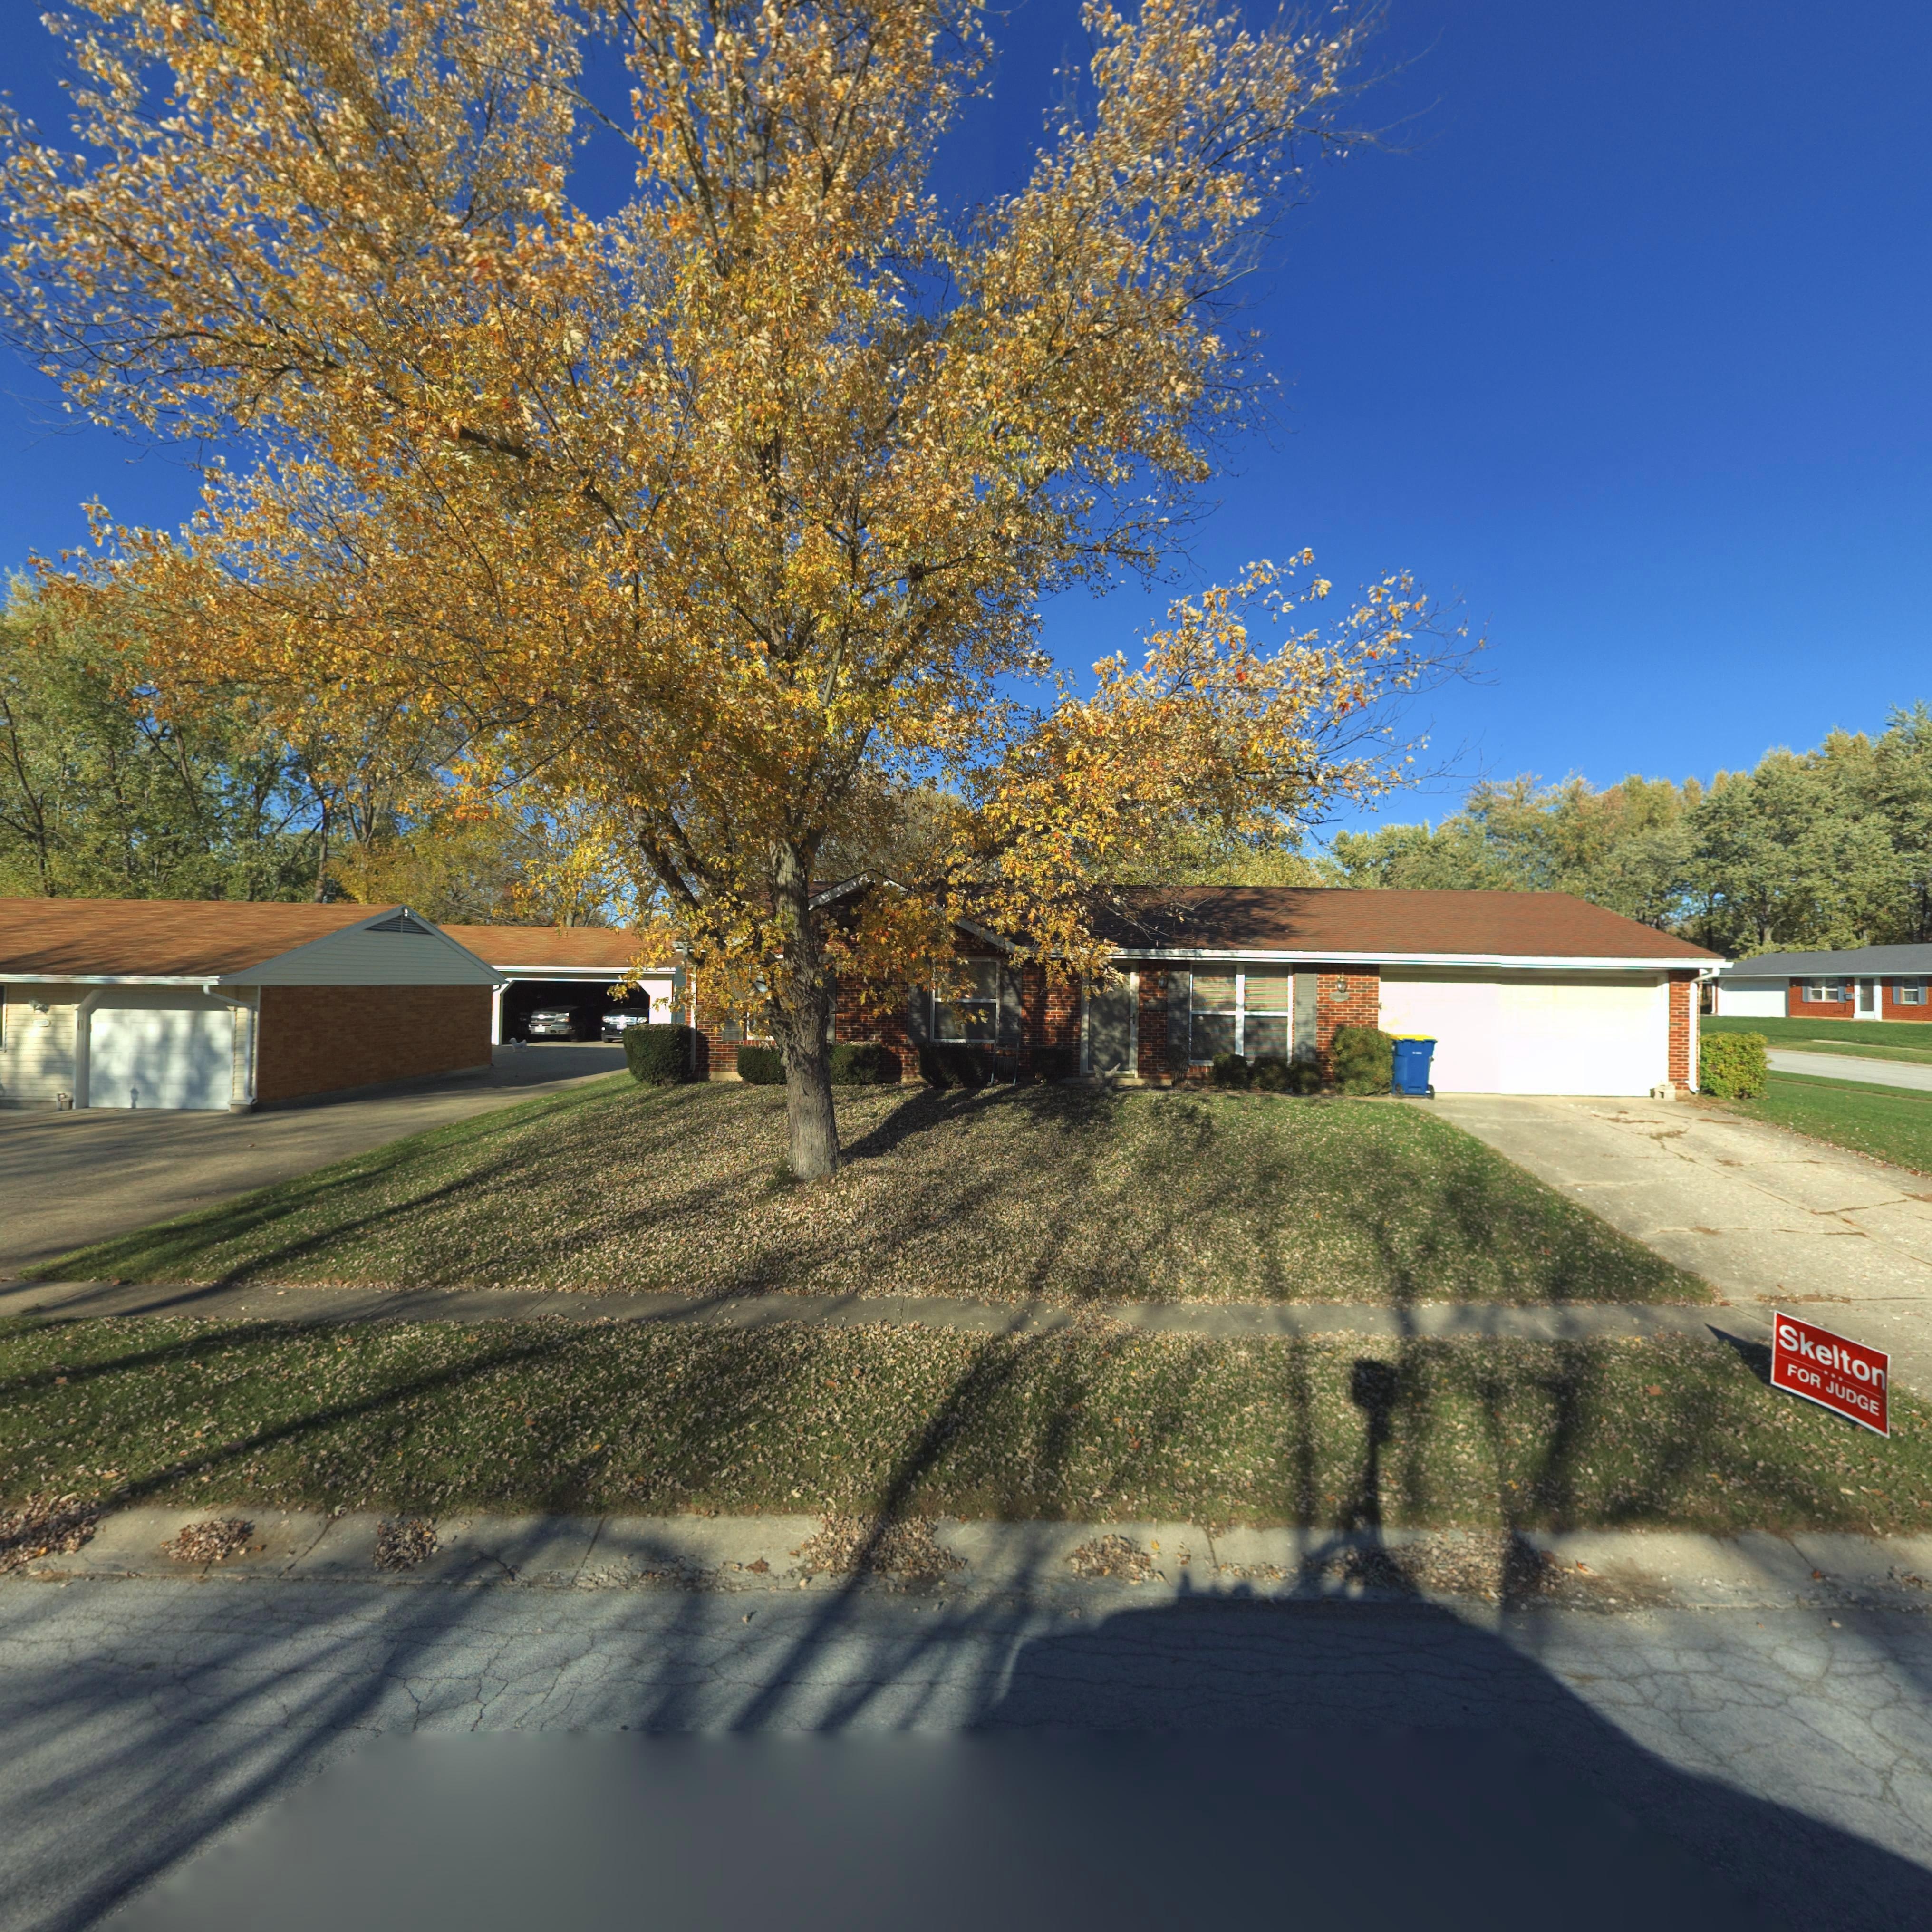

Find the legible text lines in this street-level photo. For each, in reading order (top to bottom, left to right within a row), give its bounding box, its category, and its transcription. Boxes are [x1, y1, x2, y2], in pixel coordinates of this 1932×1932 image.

[1332, 994, 1347, 999] StreetNumber: 500*
[36, 1020, 47, 1026] StreetNumber: **15